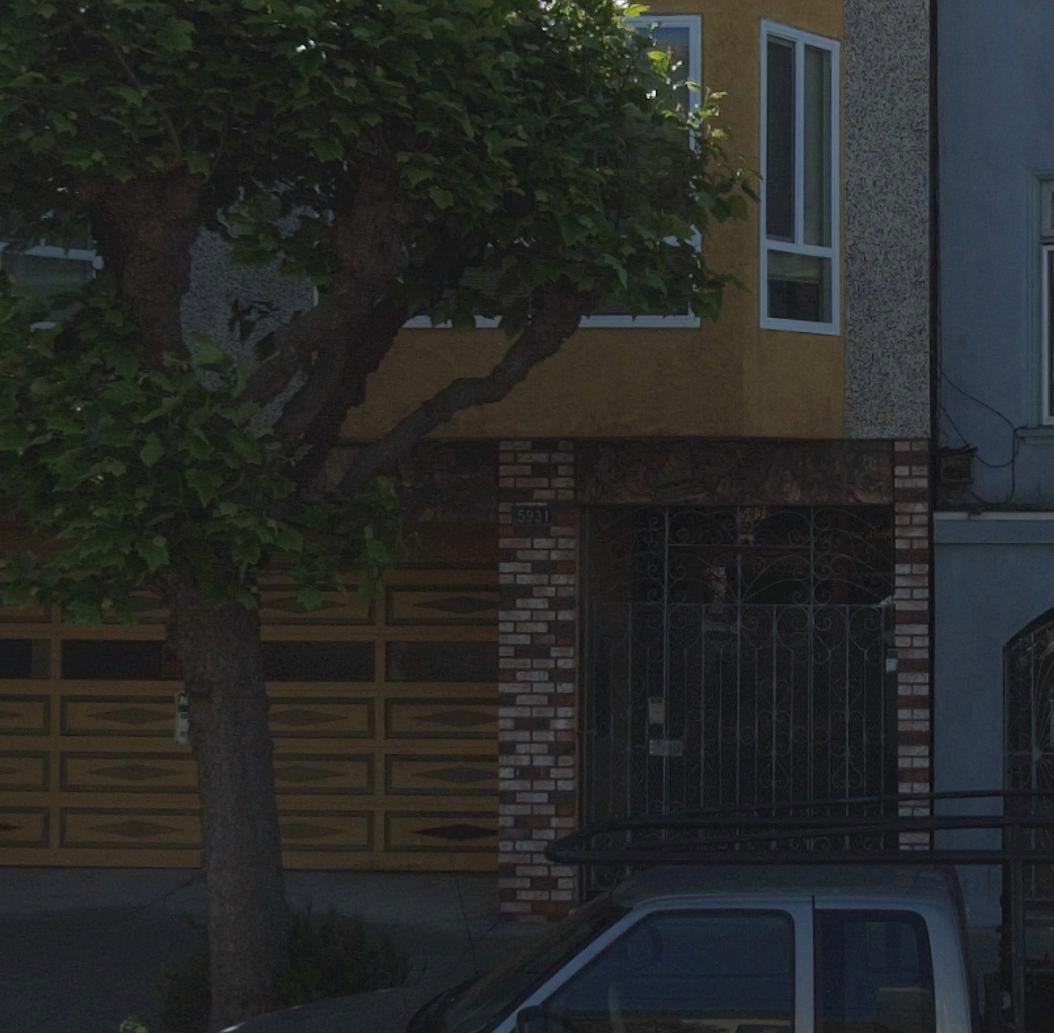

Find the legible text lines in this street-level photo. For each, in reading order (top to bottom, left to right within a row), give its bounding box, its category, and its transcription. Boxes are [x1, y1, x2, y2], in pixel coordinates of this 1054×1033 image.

[515, 508, 550, 524] StreetNumber: 5931
[739, 505, 769, 521] StreetNumber: 5931